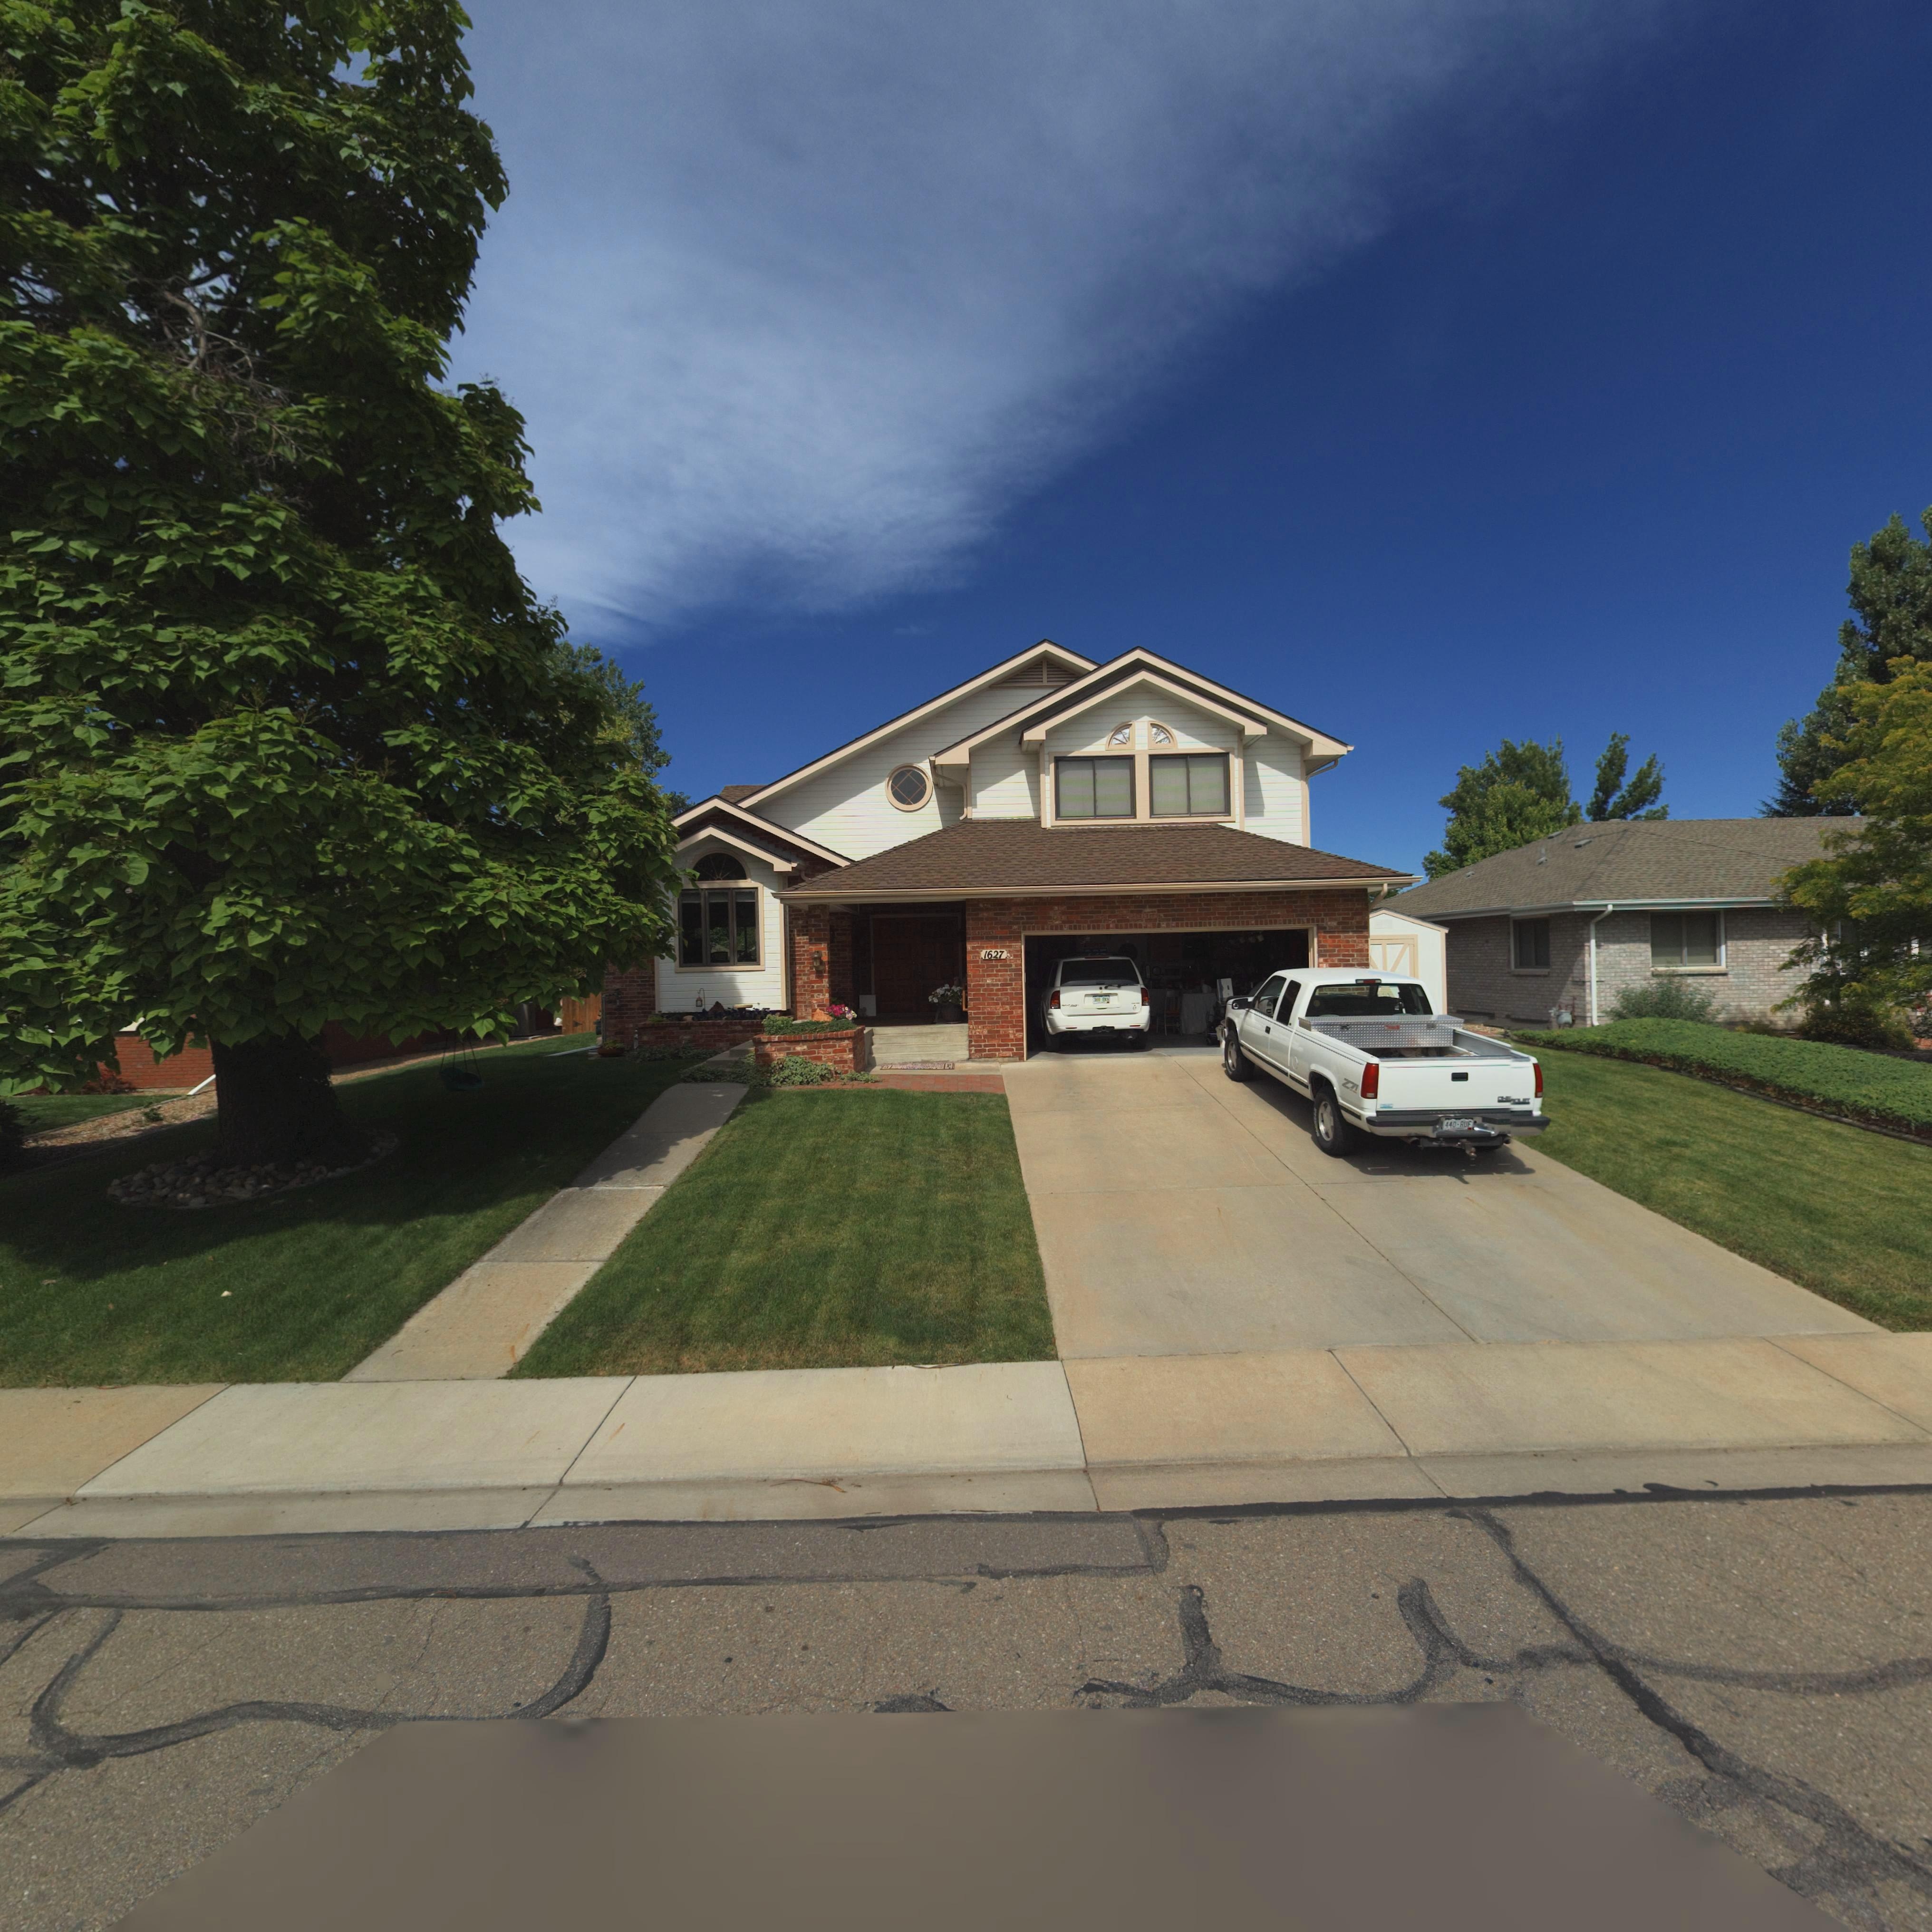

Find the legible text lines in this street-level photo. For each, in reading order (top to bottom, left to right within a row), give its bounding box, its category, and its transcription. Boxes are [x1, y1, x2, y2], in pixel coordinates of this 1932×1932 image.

[983, 950, 1005, 959] StreetNumber: 1627